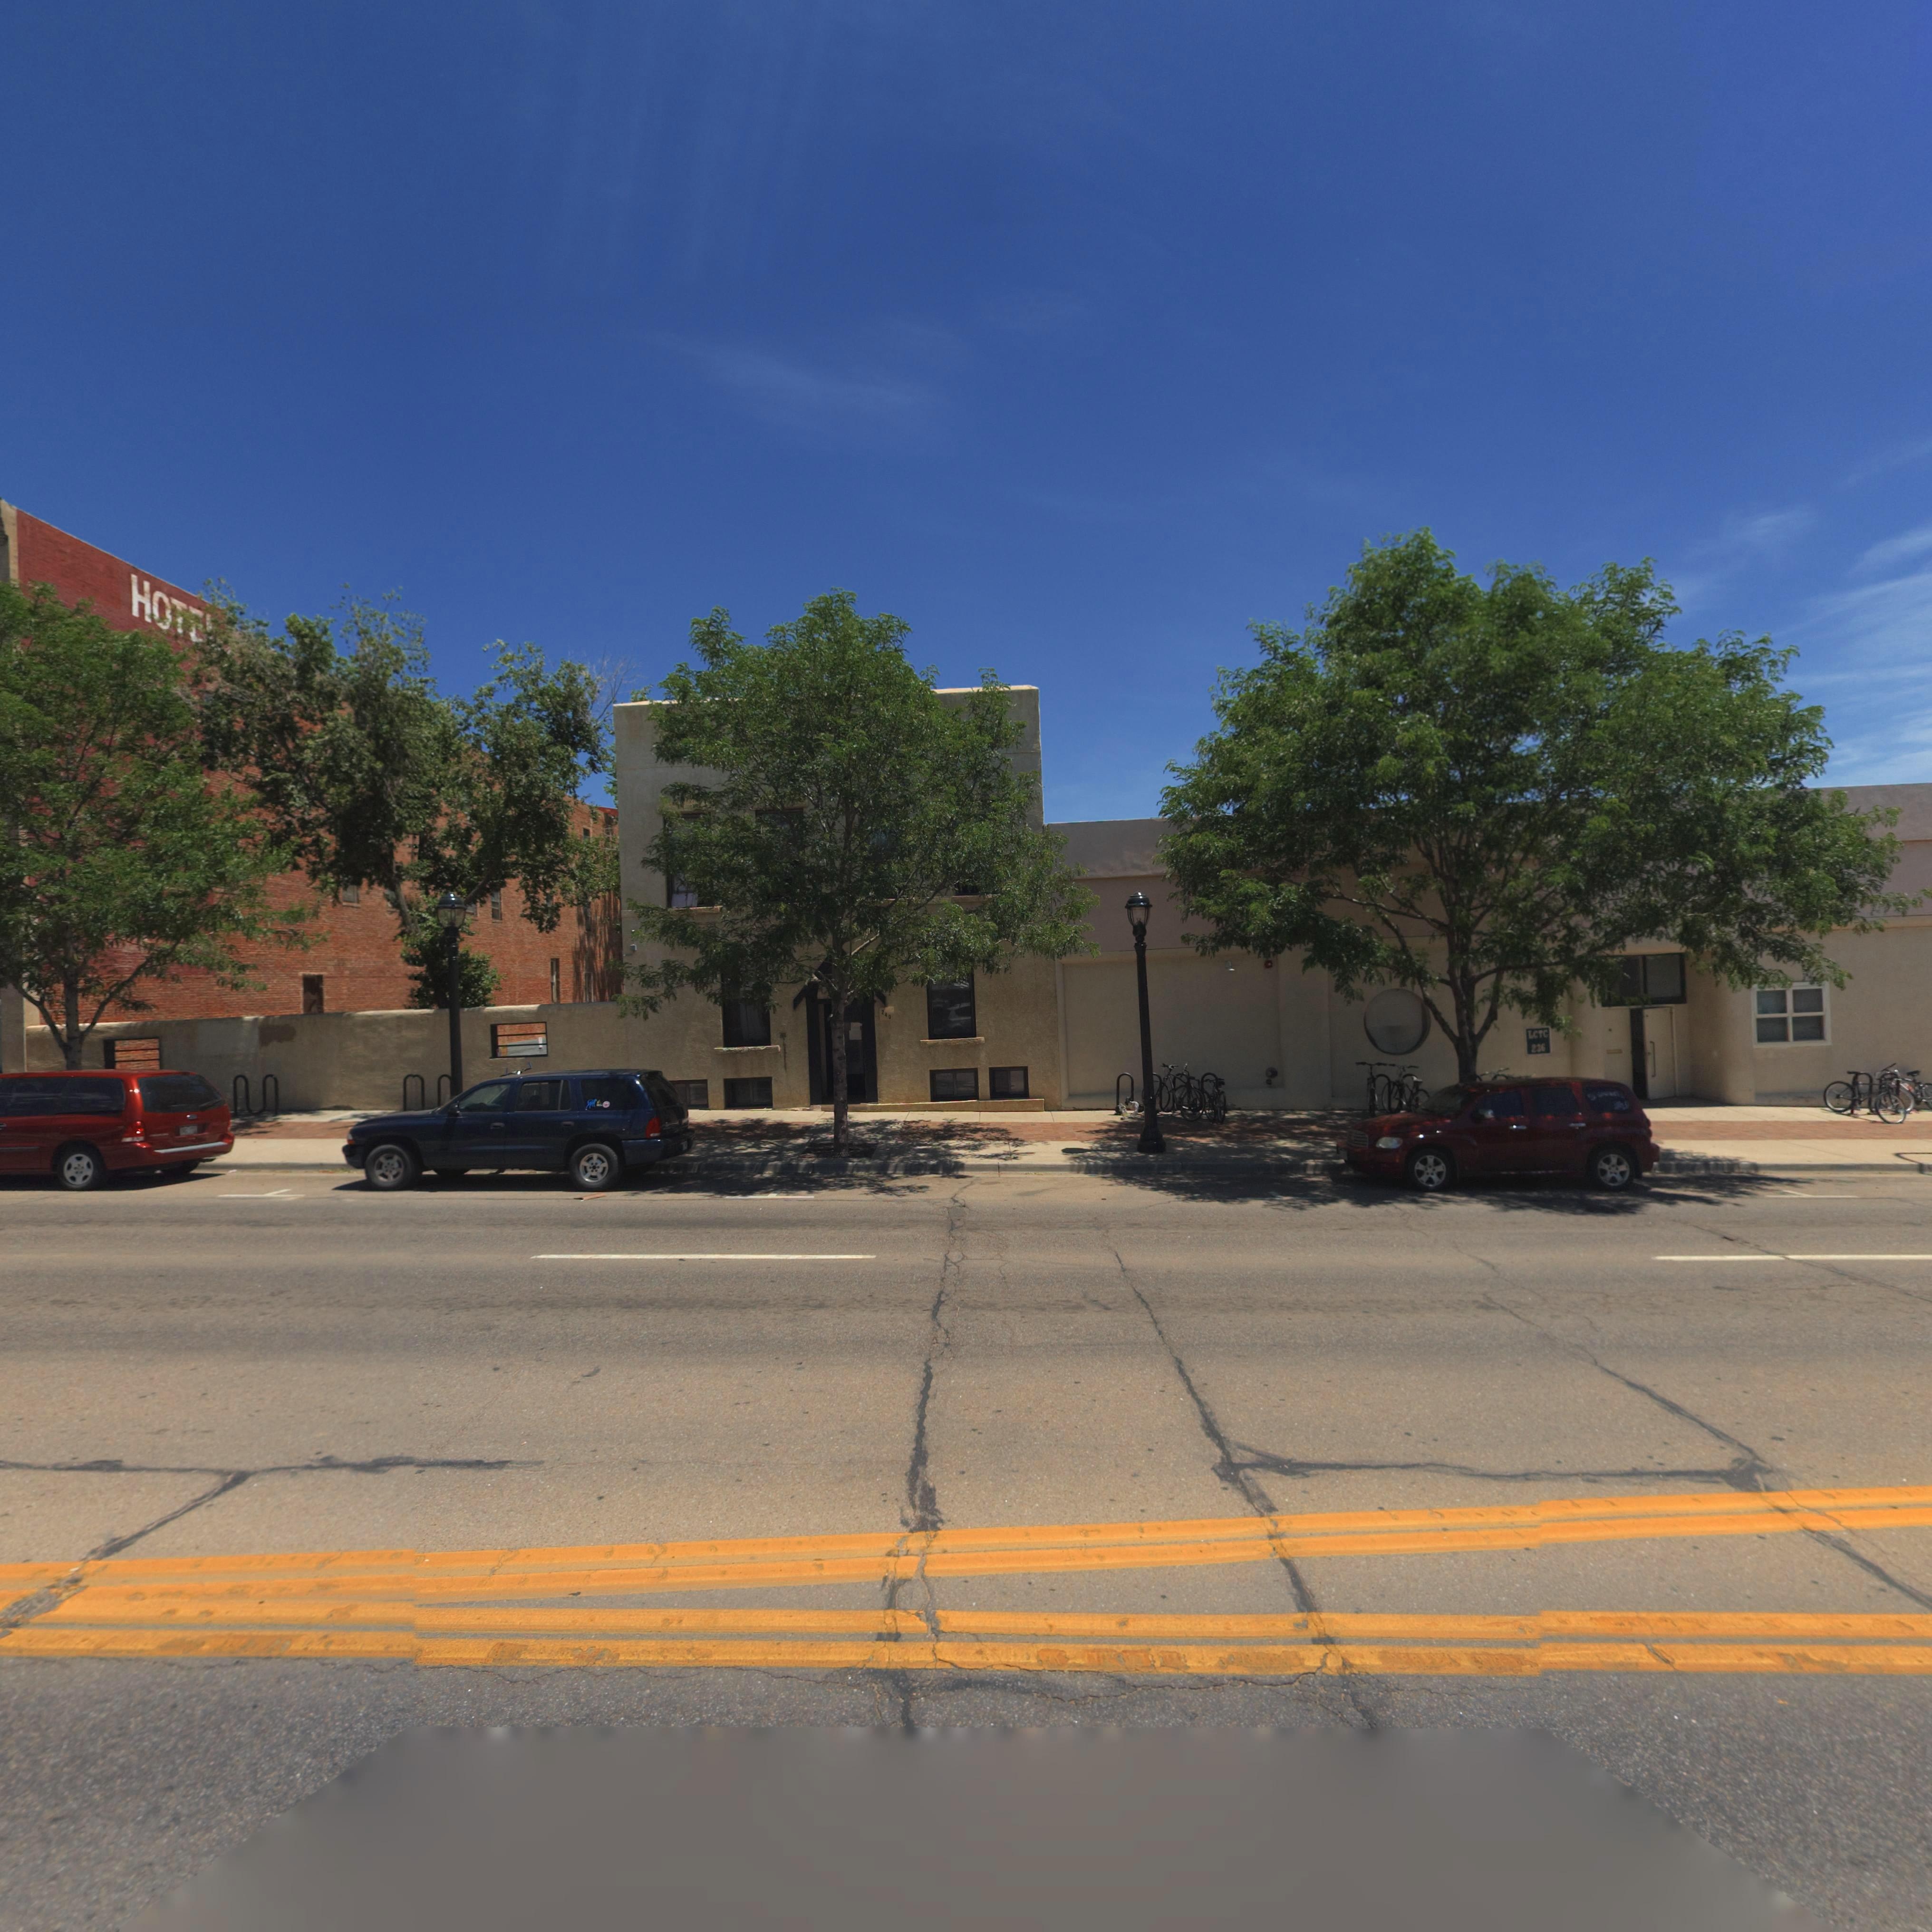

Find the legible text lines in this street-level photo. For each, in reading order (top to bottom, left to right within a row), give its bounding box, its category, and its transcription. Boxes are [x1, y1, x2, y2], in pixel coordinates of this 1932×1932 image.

[879, 1009, 891, 1020] StreetNumber: 240
[1528, 1043, 1546, 1054] StreetNumber: 236